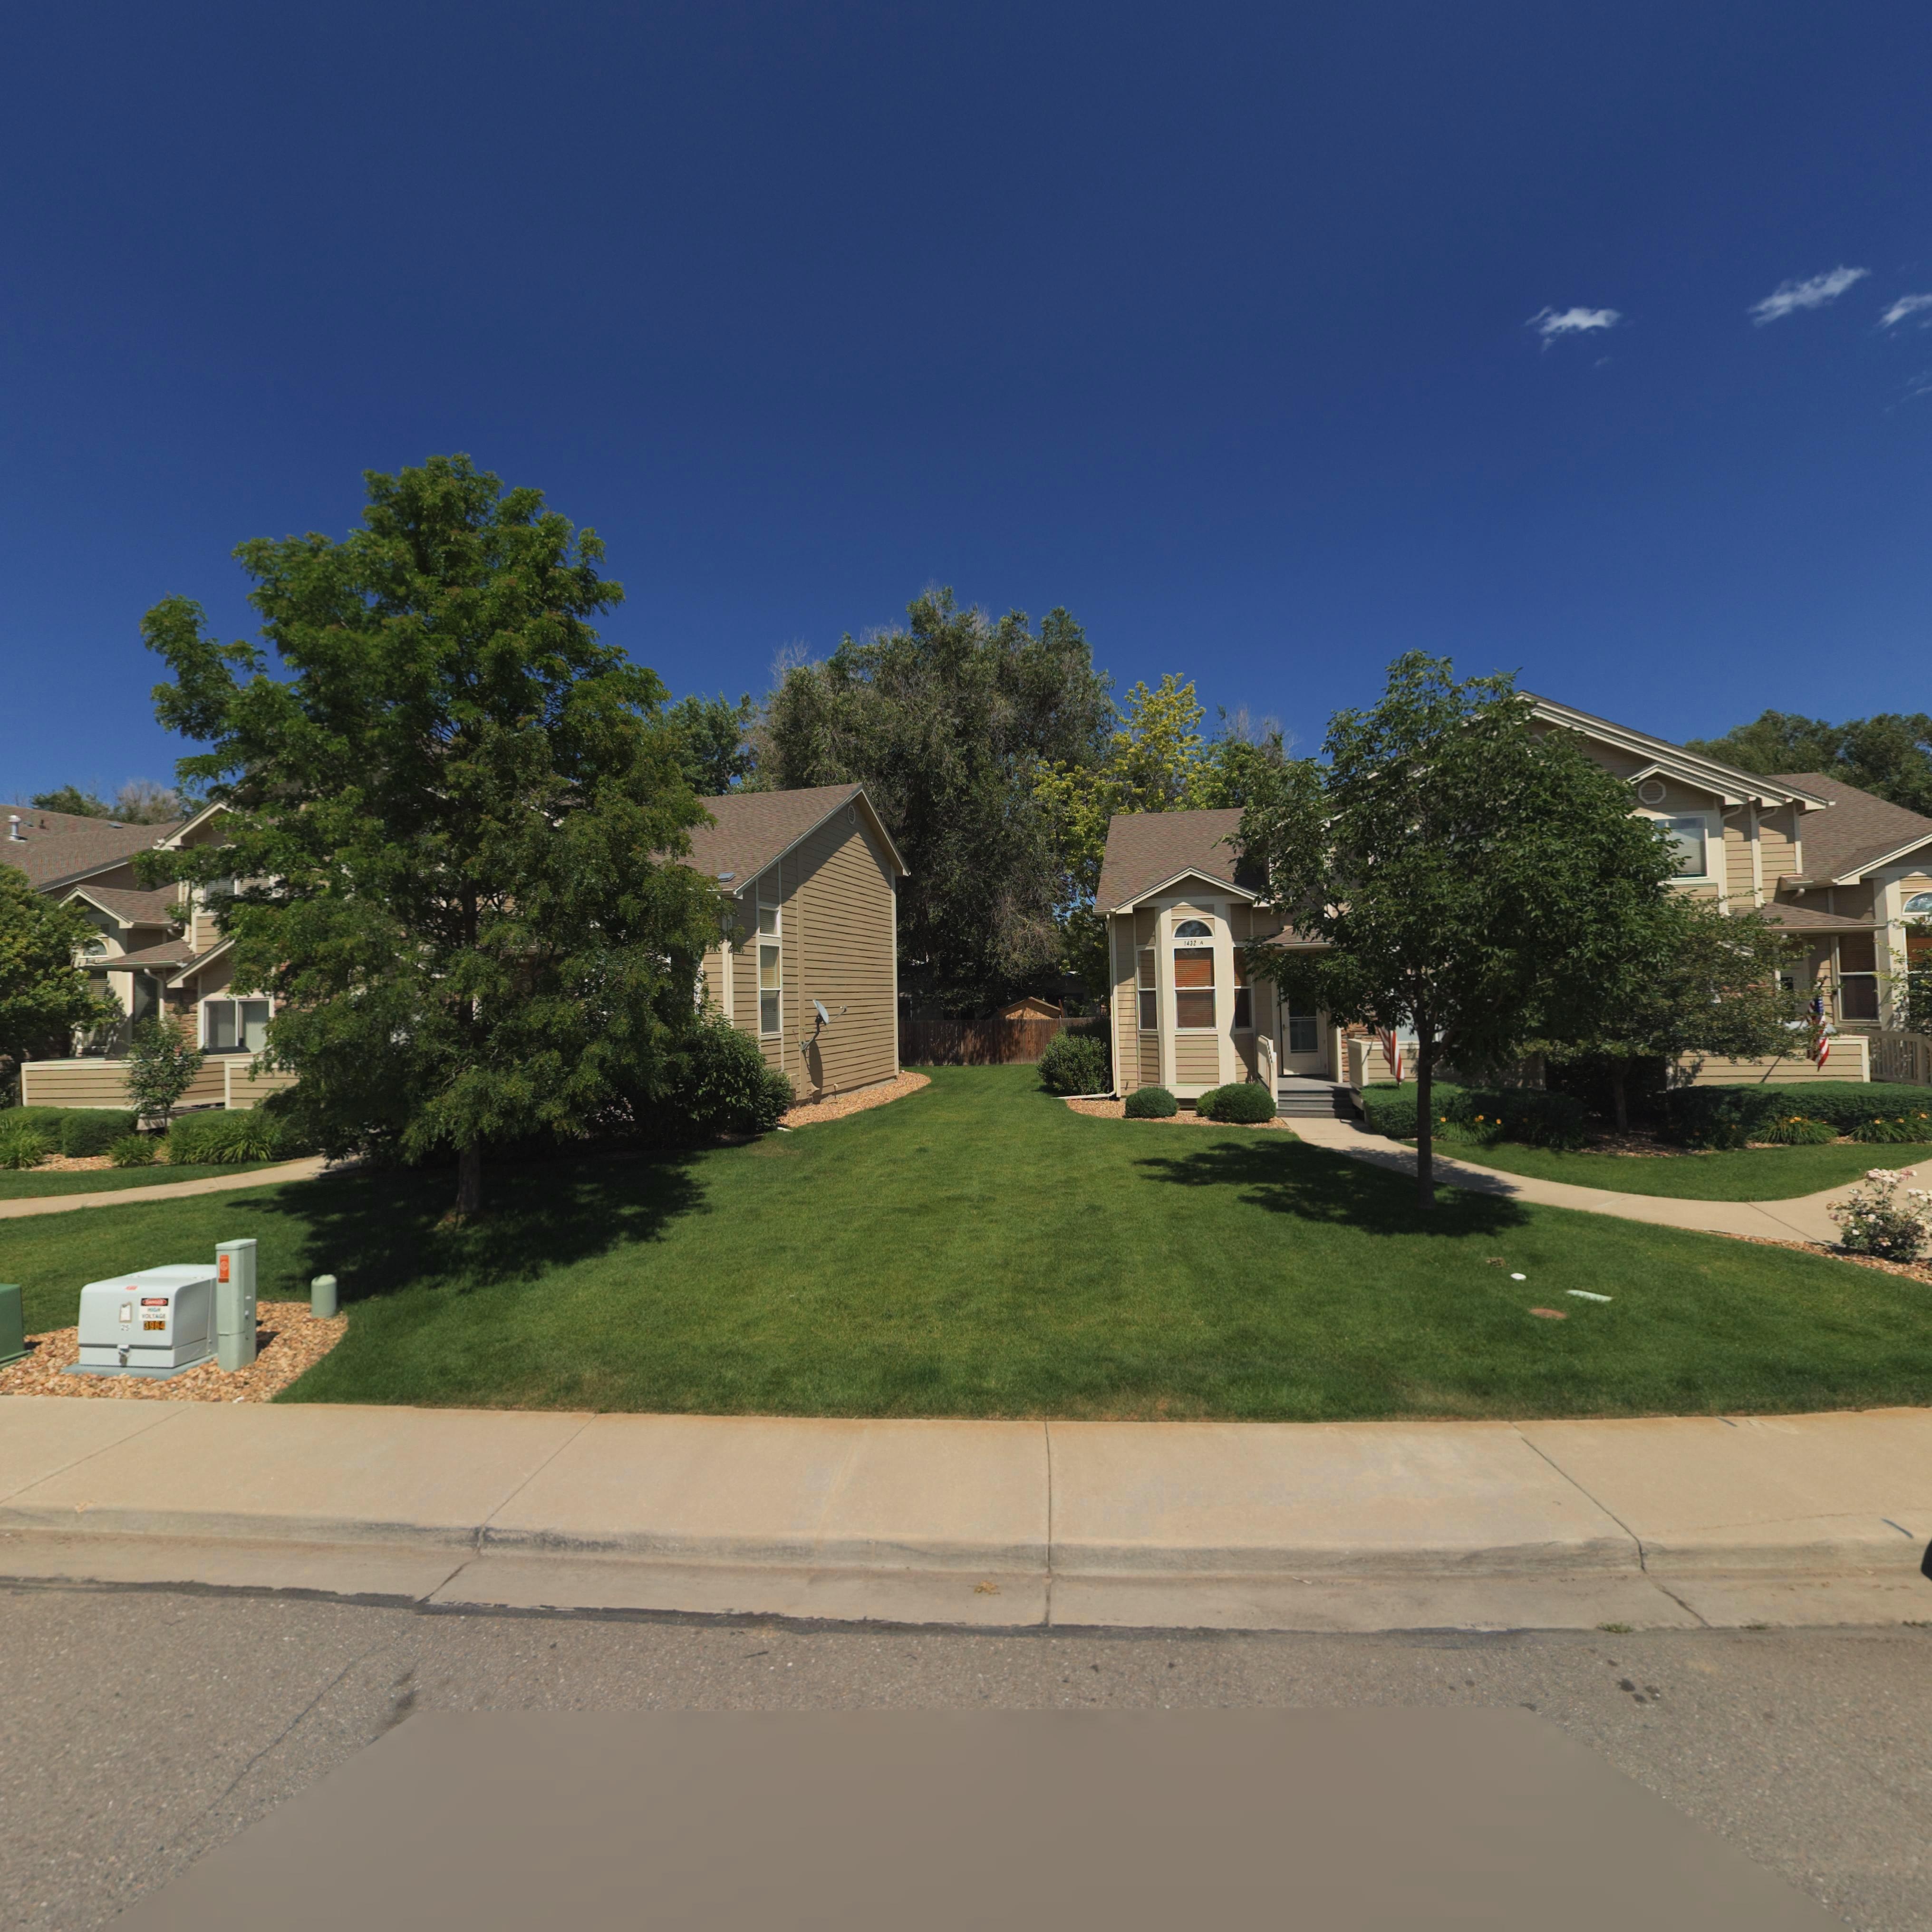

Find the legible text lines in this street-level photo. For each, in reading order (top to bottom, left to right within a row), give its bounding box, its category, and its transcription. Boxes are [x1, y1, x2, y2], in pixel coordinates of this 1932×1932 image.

[1184, 940, 1204, 946] StreetNumber: 1432 A